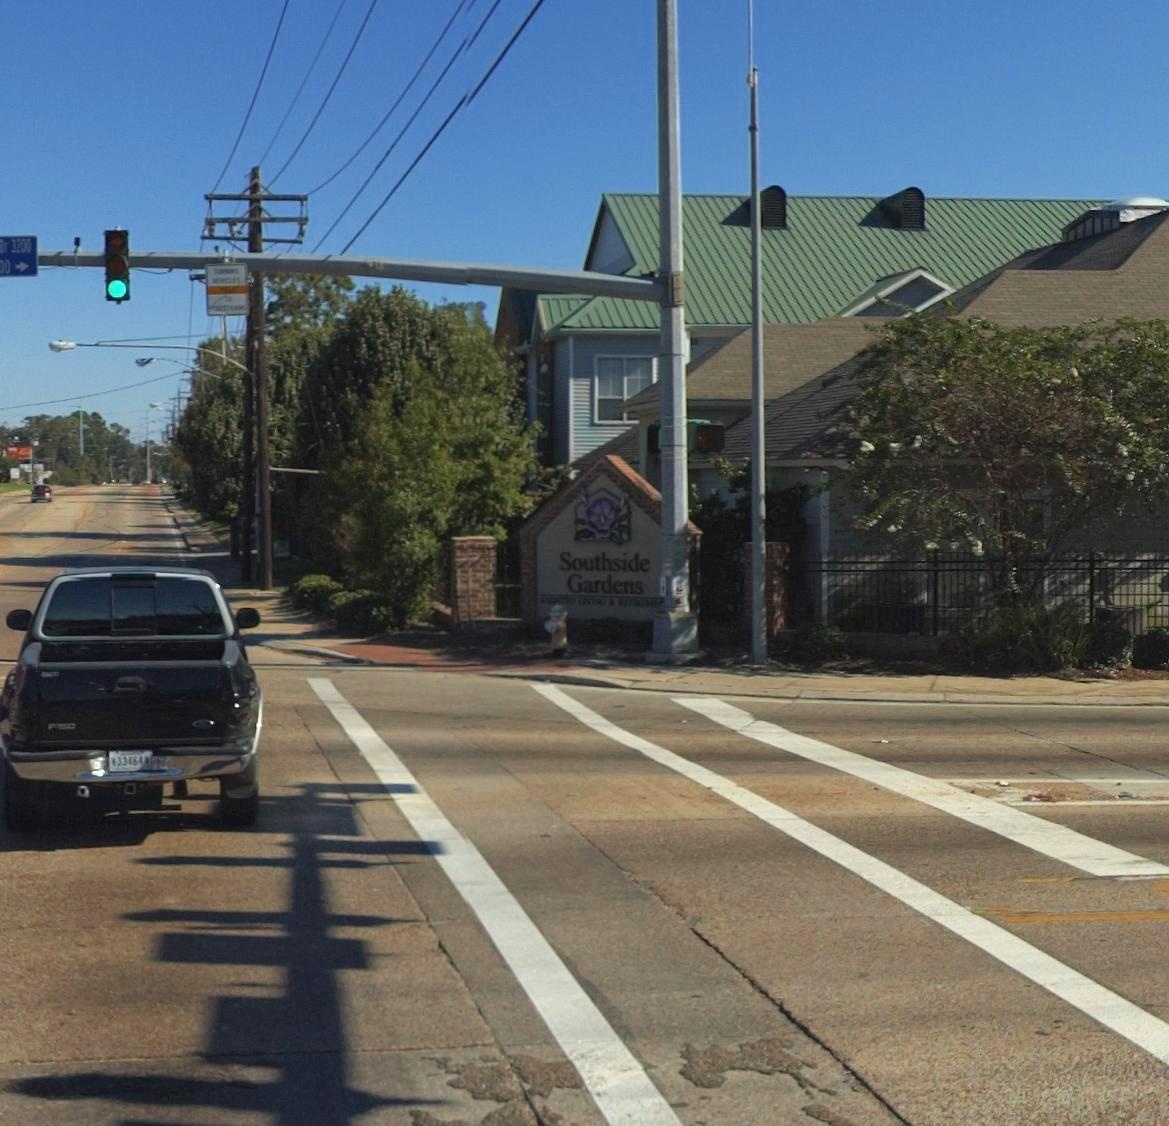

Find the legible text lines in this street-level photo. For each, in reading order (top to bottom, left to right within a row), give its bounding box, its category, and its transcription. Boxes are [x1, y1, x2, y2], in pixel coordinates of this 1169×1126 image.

[10, 237, 33, 255] StreetNumberRange: 3200
[3, 258, 12, 275] StreetNumberRange: 0
[556, 550, 651, 573] BusinessName: Southside
[566, 573, 646, 596] BusinessName:  Gardens
[577, 595, 606, 606] None: LIVING
[115, 754, 151, 768] None: 3346**+